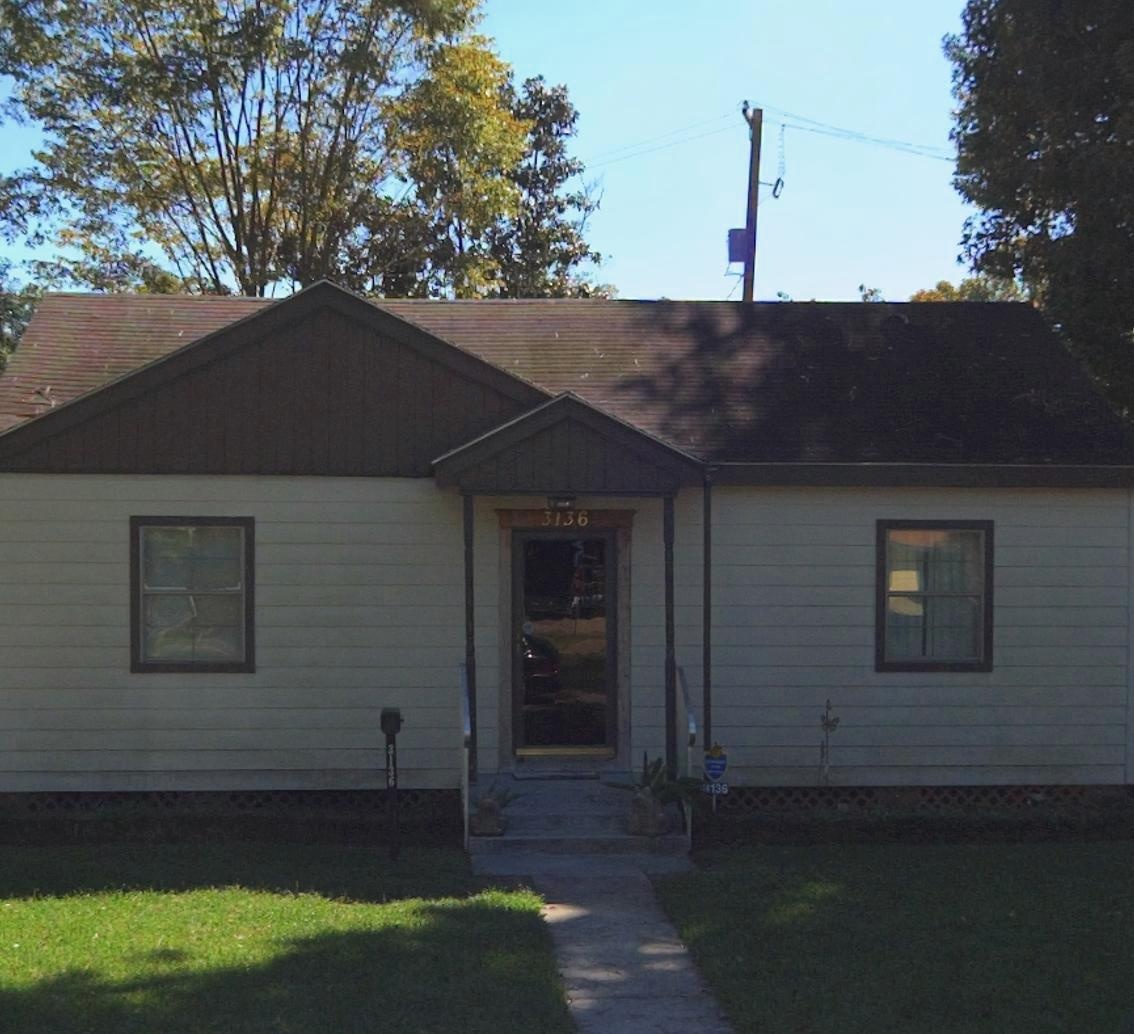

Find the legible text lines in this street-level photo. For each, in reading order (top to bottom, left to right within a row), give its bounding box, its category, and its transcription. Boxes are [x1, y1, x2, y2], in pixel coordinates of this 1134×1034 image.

[541, 509, 588, 528] StreetNumber: 3136
[702, 782, 728, 794] StreetNumber: *136